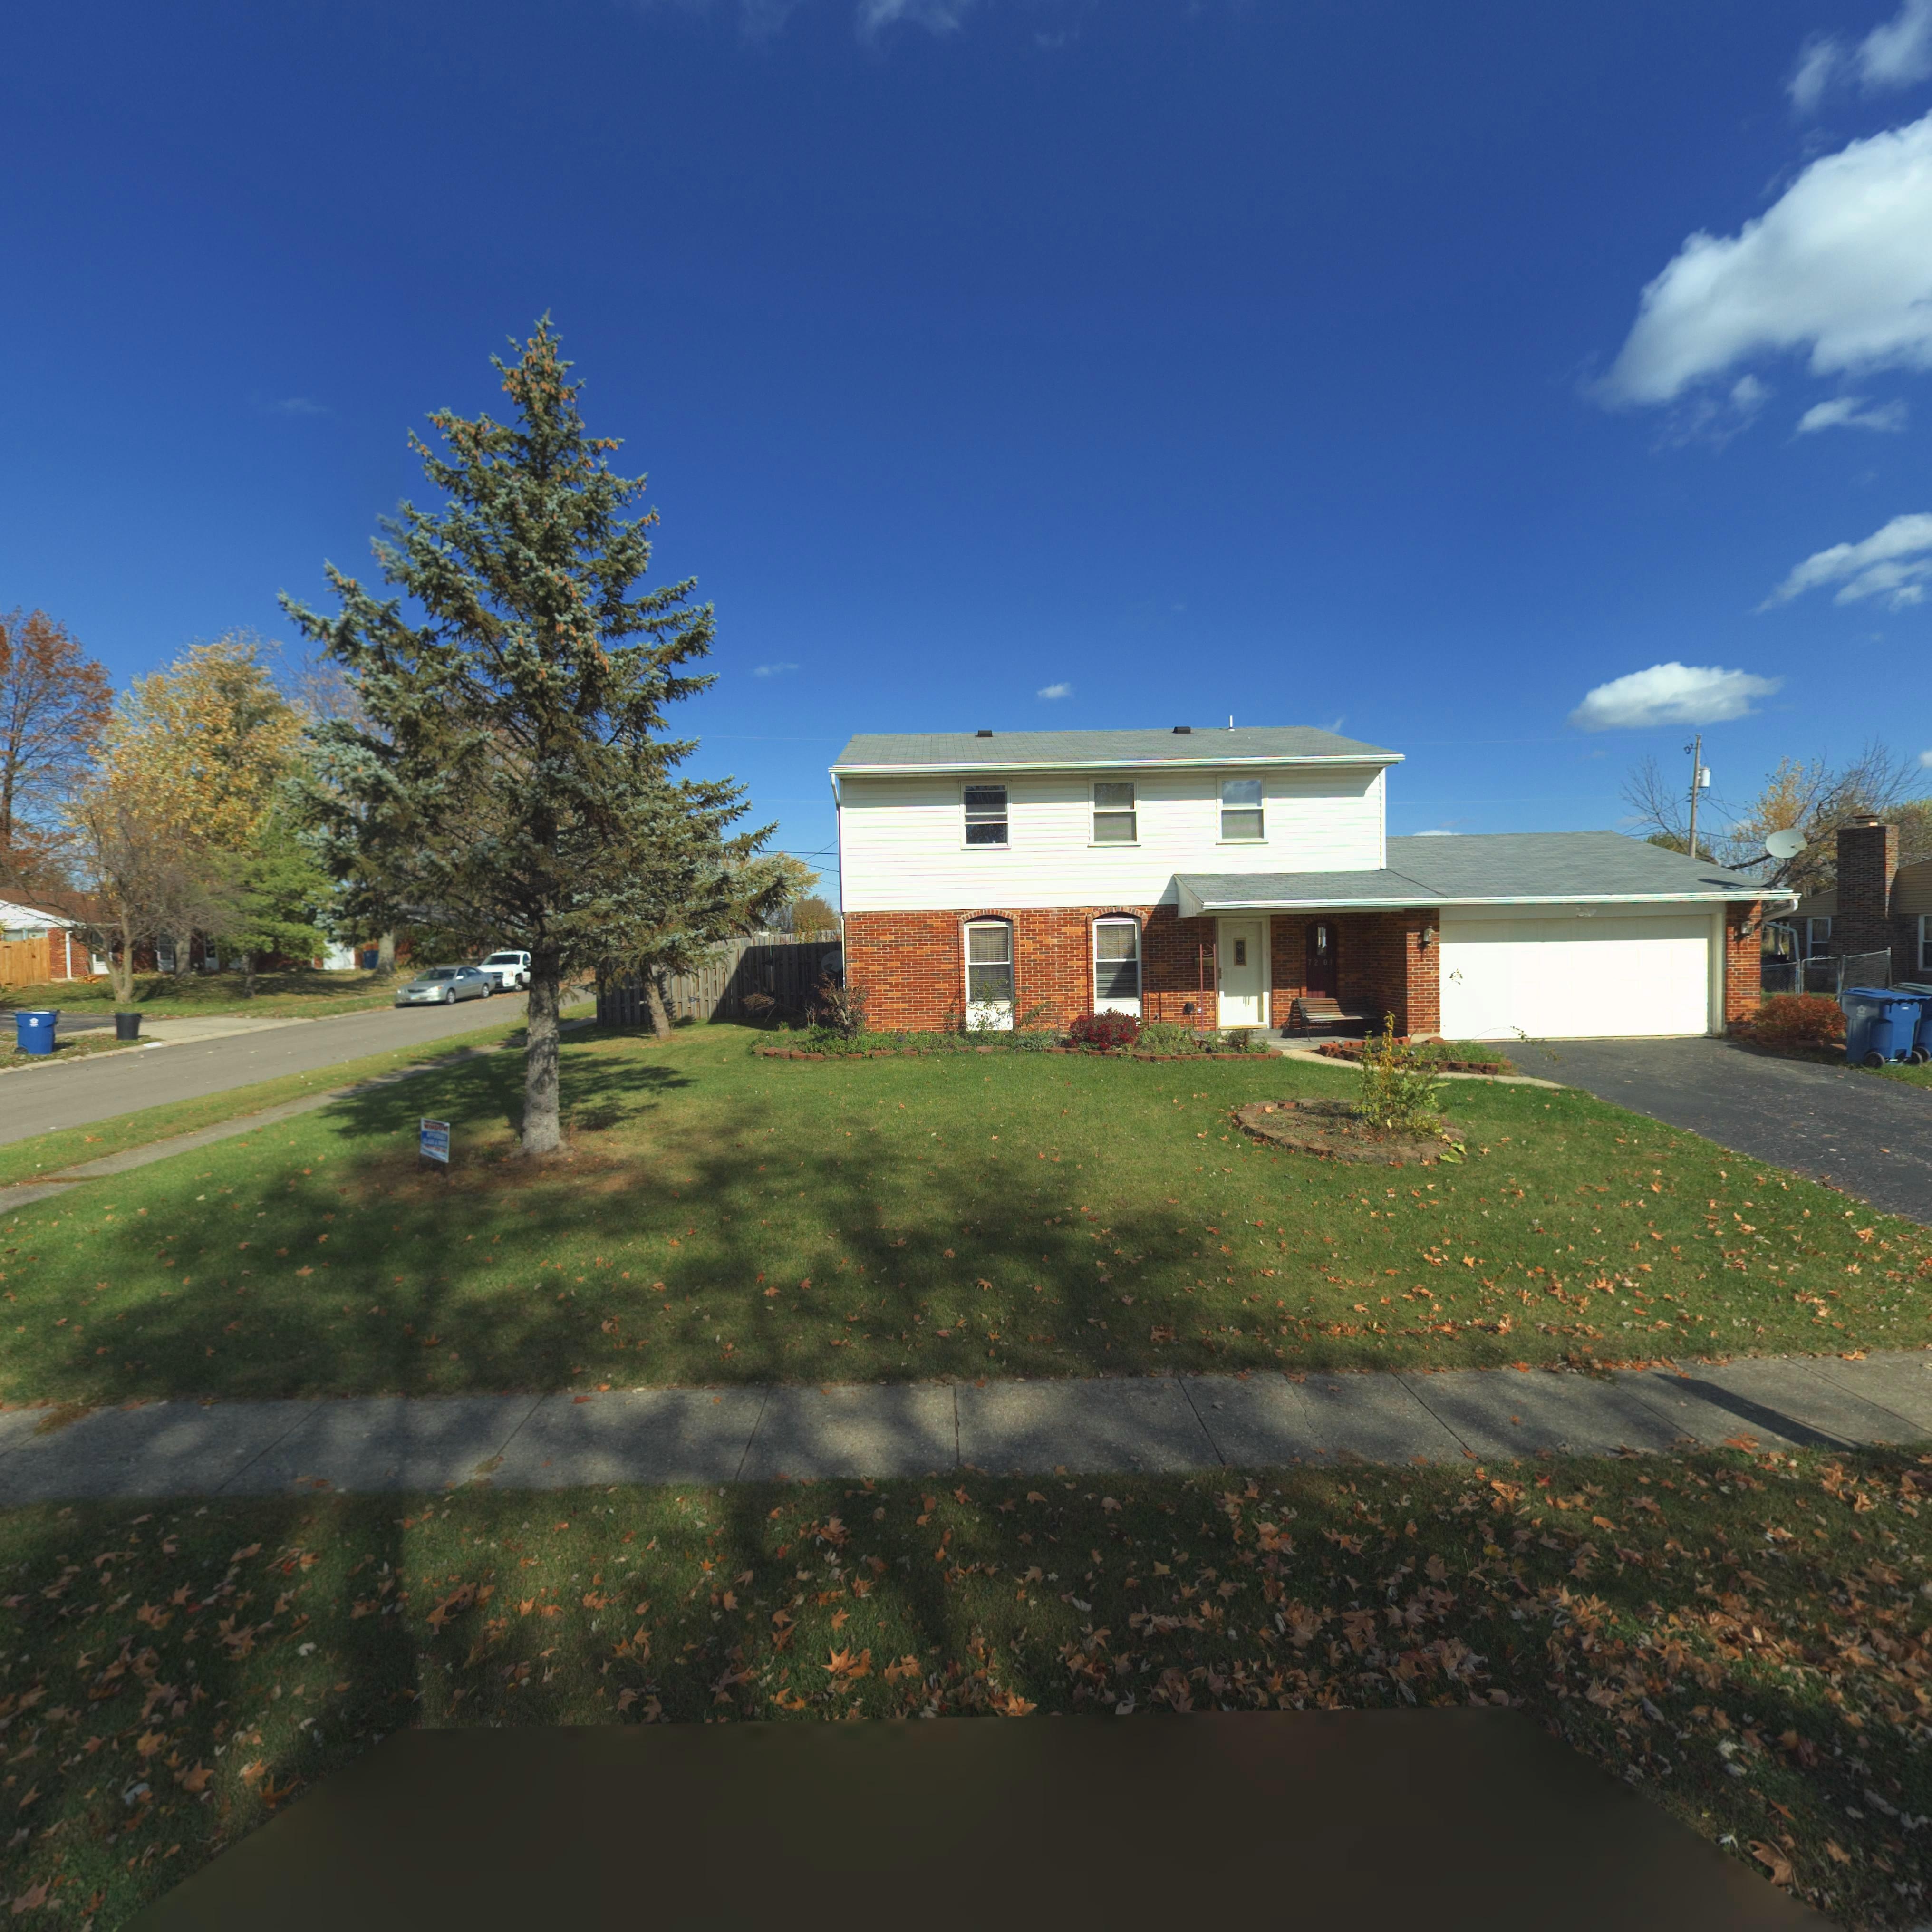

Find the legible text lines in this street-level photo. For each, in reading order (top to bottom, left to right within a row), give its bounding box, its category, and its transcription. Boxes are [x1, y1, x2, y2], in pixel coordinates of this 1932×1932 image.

[1306, 958, 1333, 967] StreetNumber: 72 01